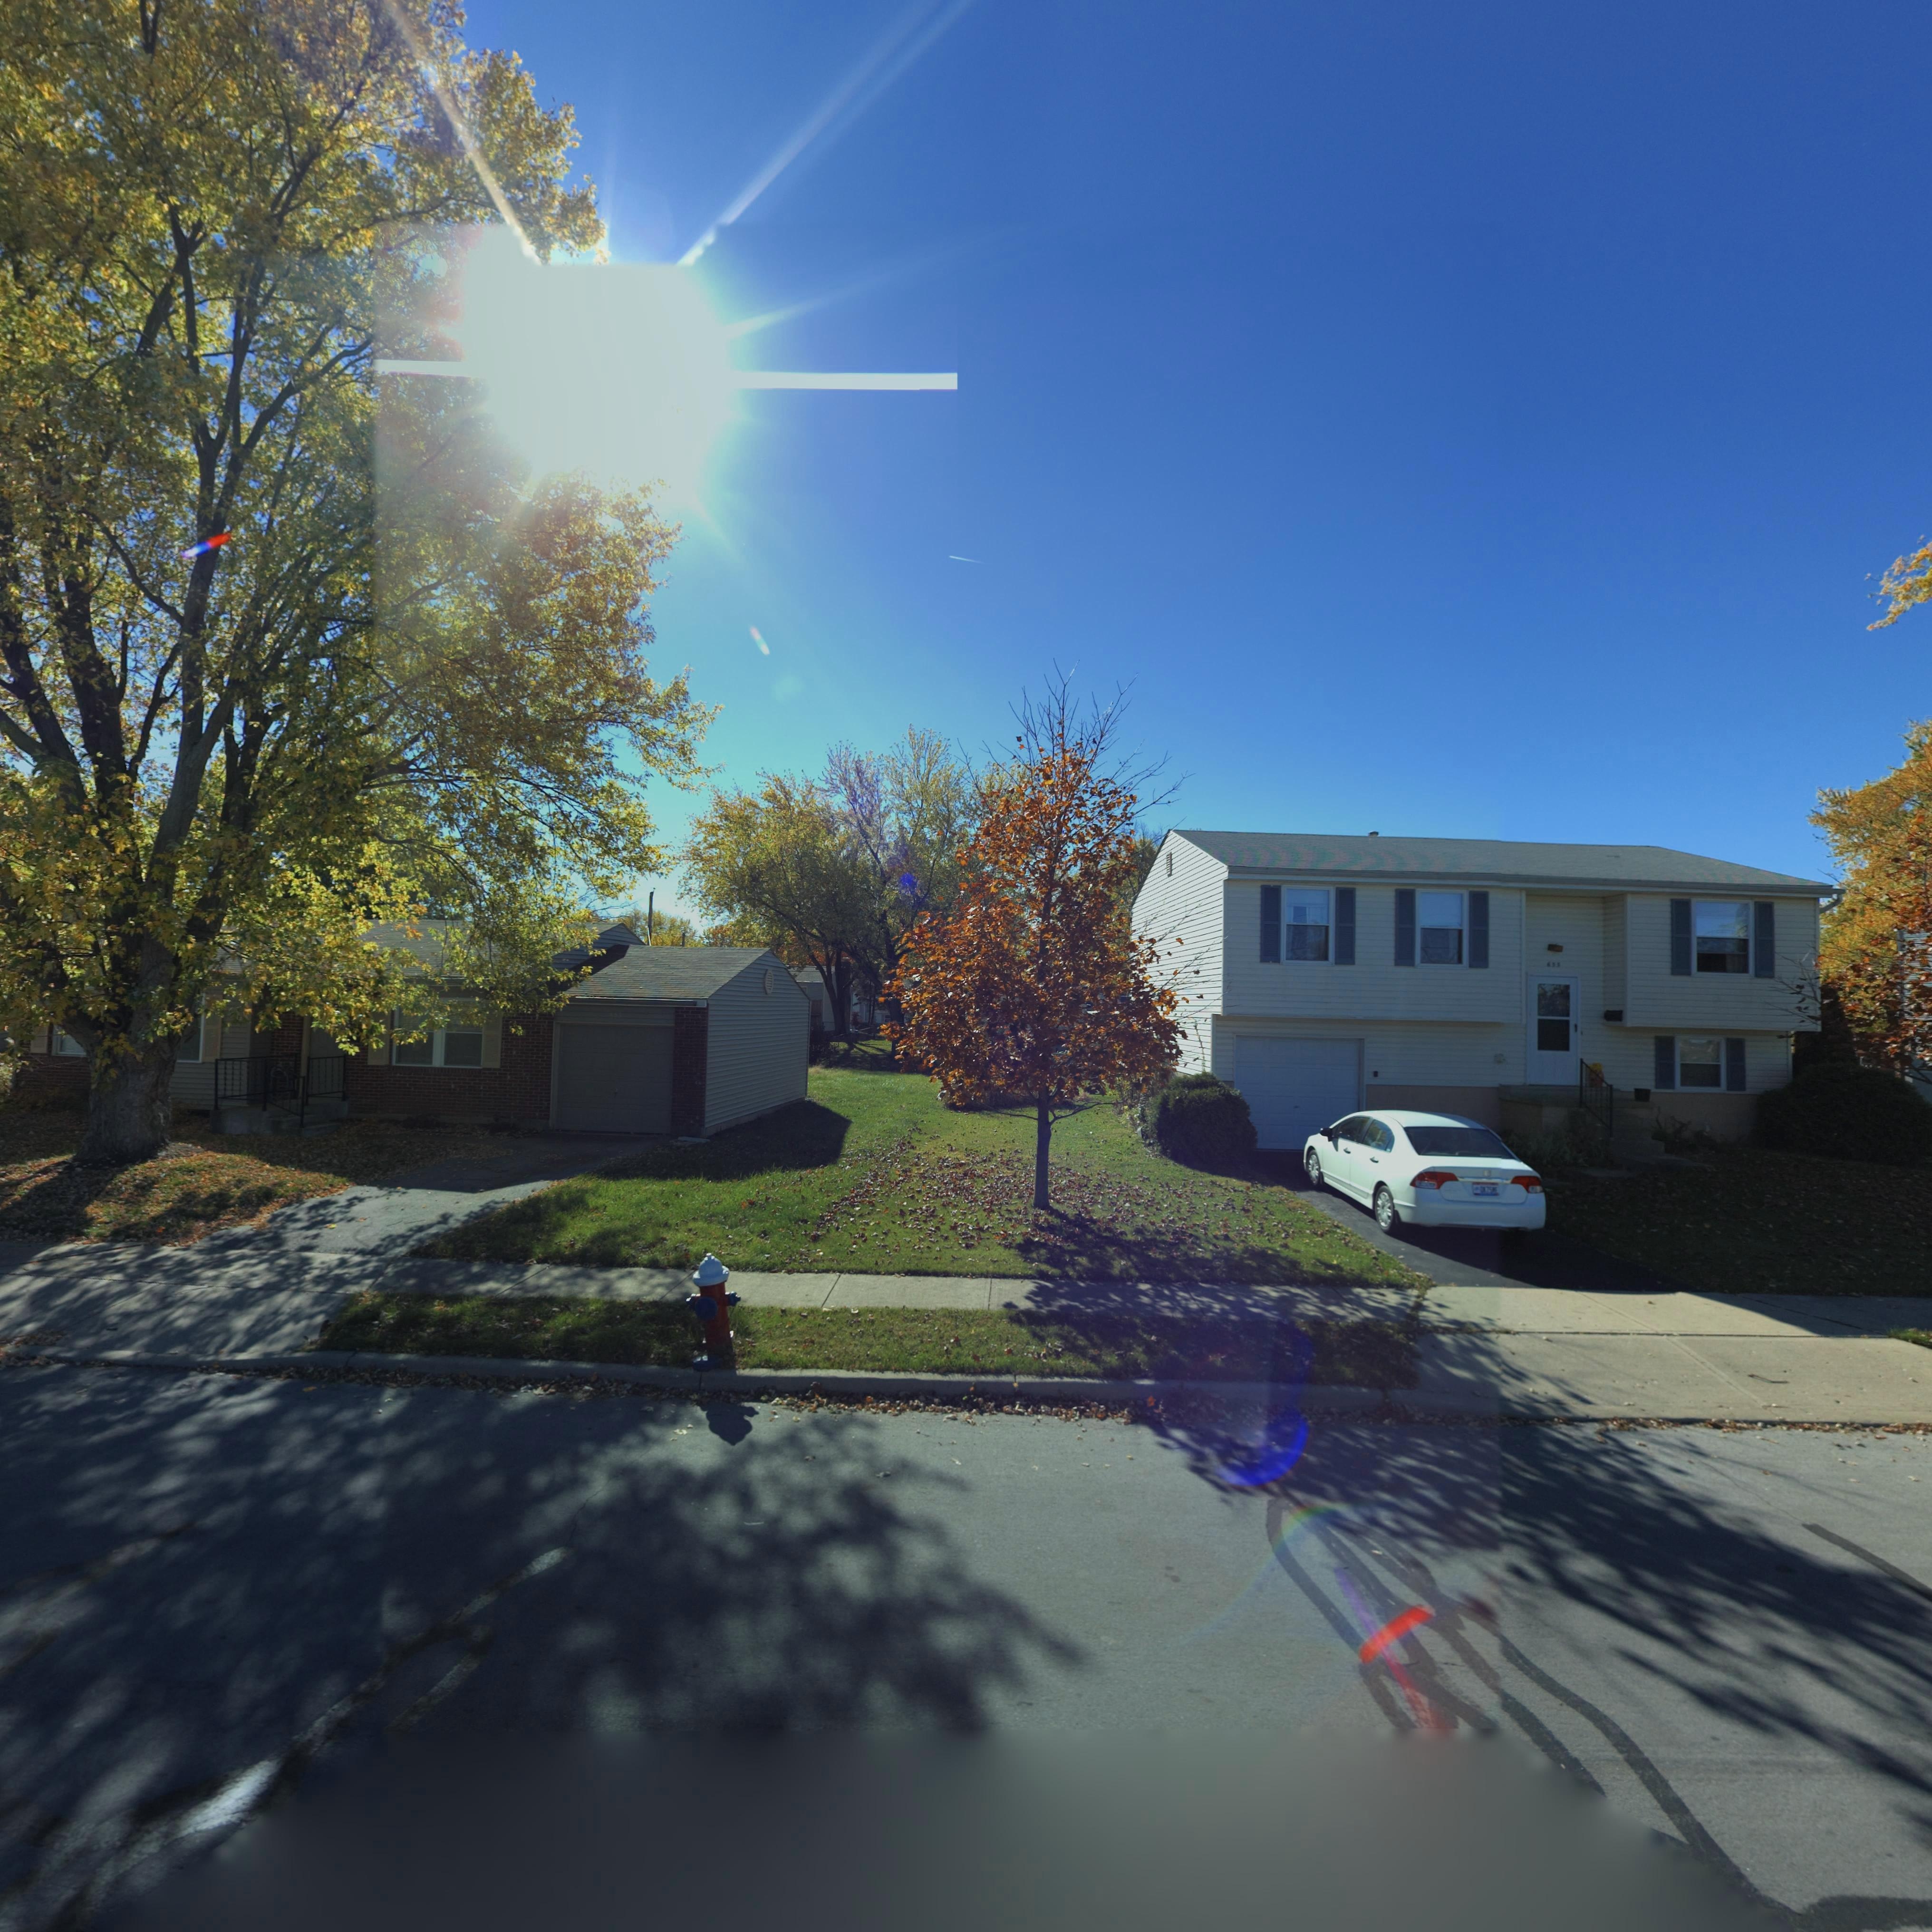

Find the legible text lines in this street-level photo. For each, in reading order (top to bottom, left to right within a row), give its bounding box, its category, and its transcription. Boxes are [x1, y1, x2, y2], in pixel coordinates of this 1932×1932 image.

[1546, 961, 1561, 967] StreetNumber: 655
[609, 1011, 623, 1019] StreetNumber: 6*3